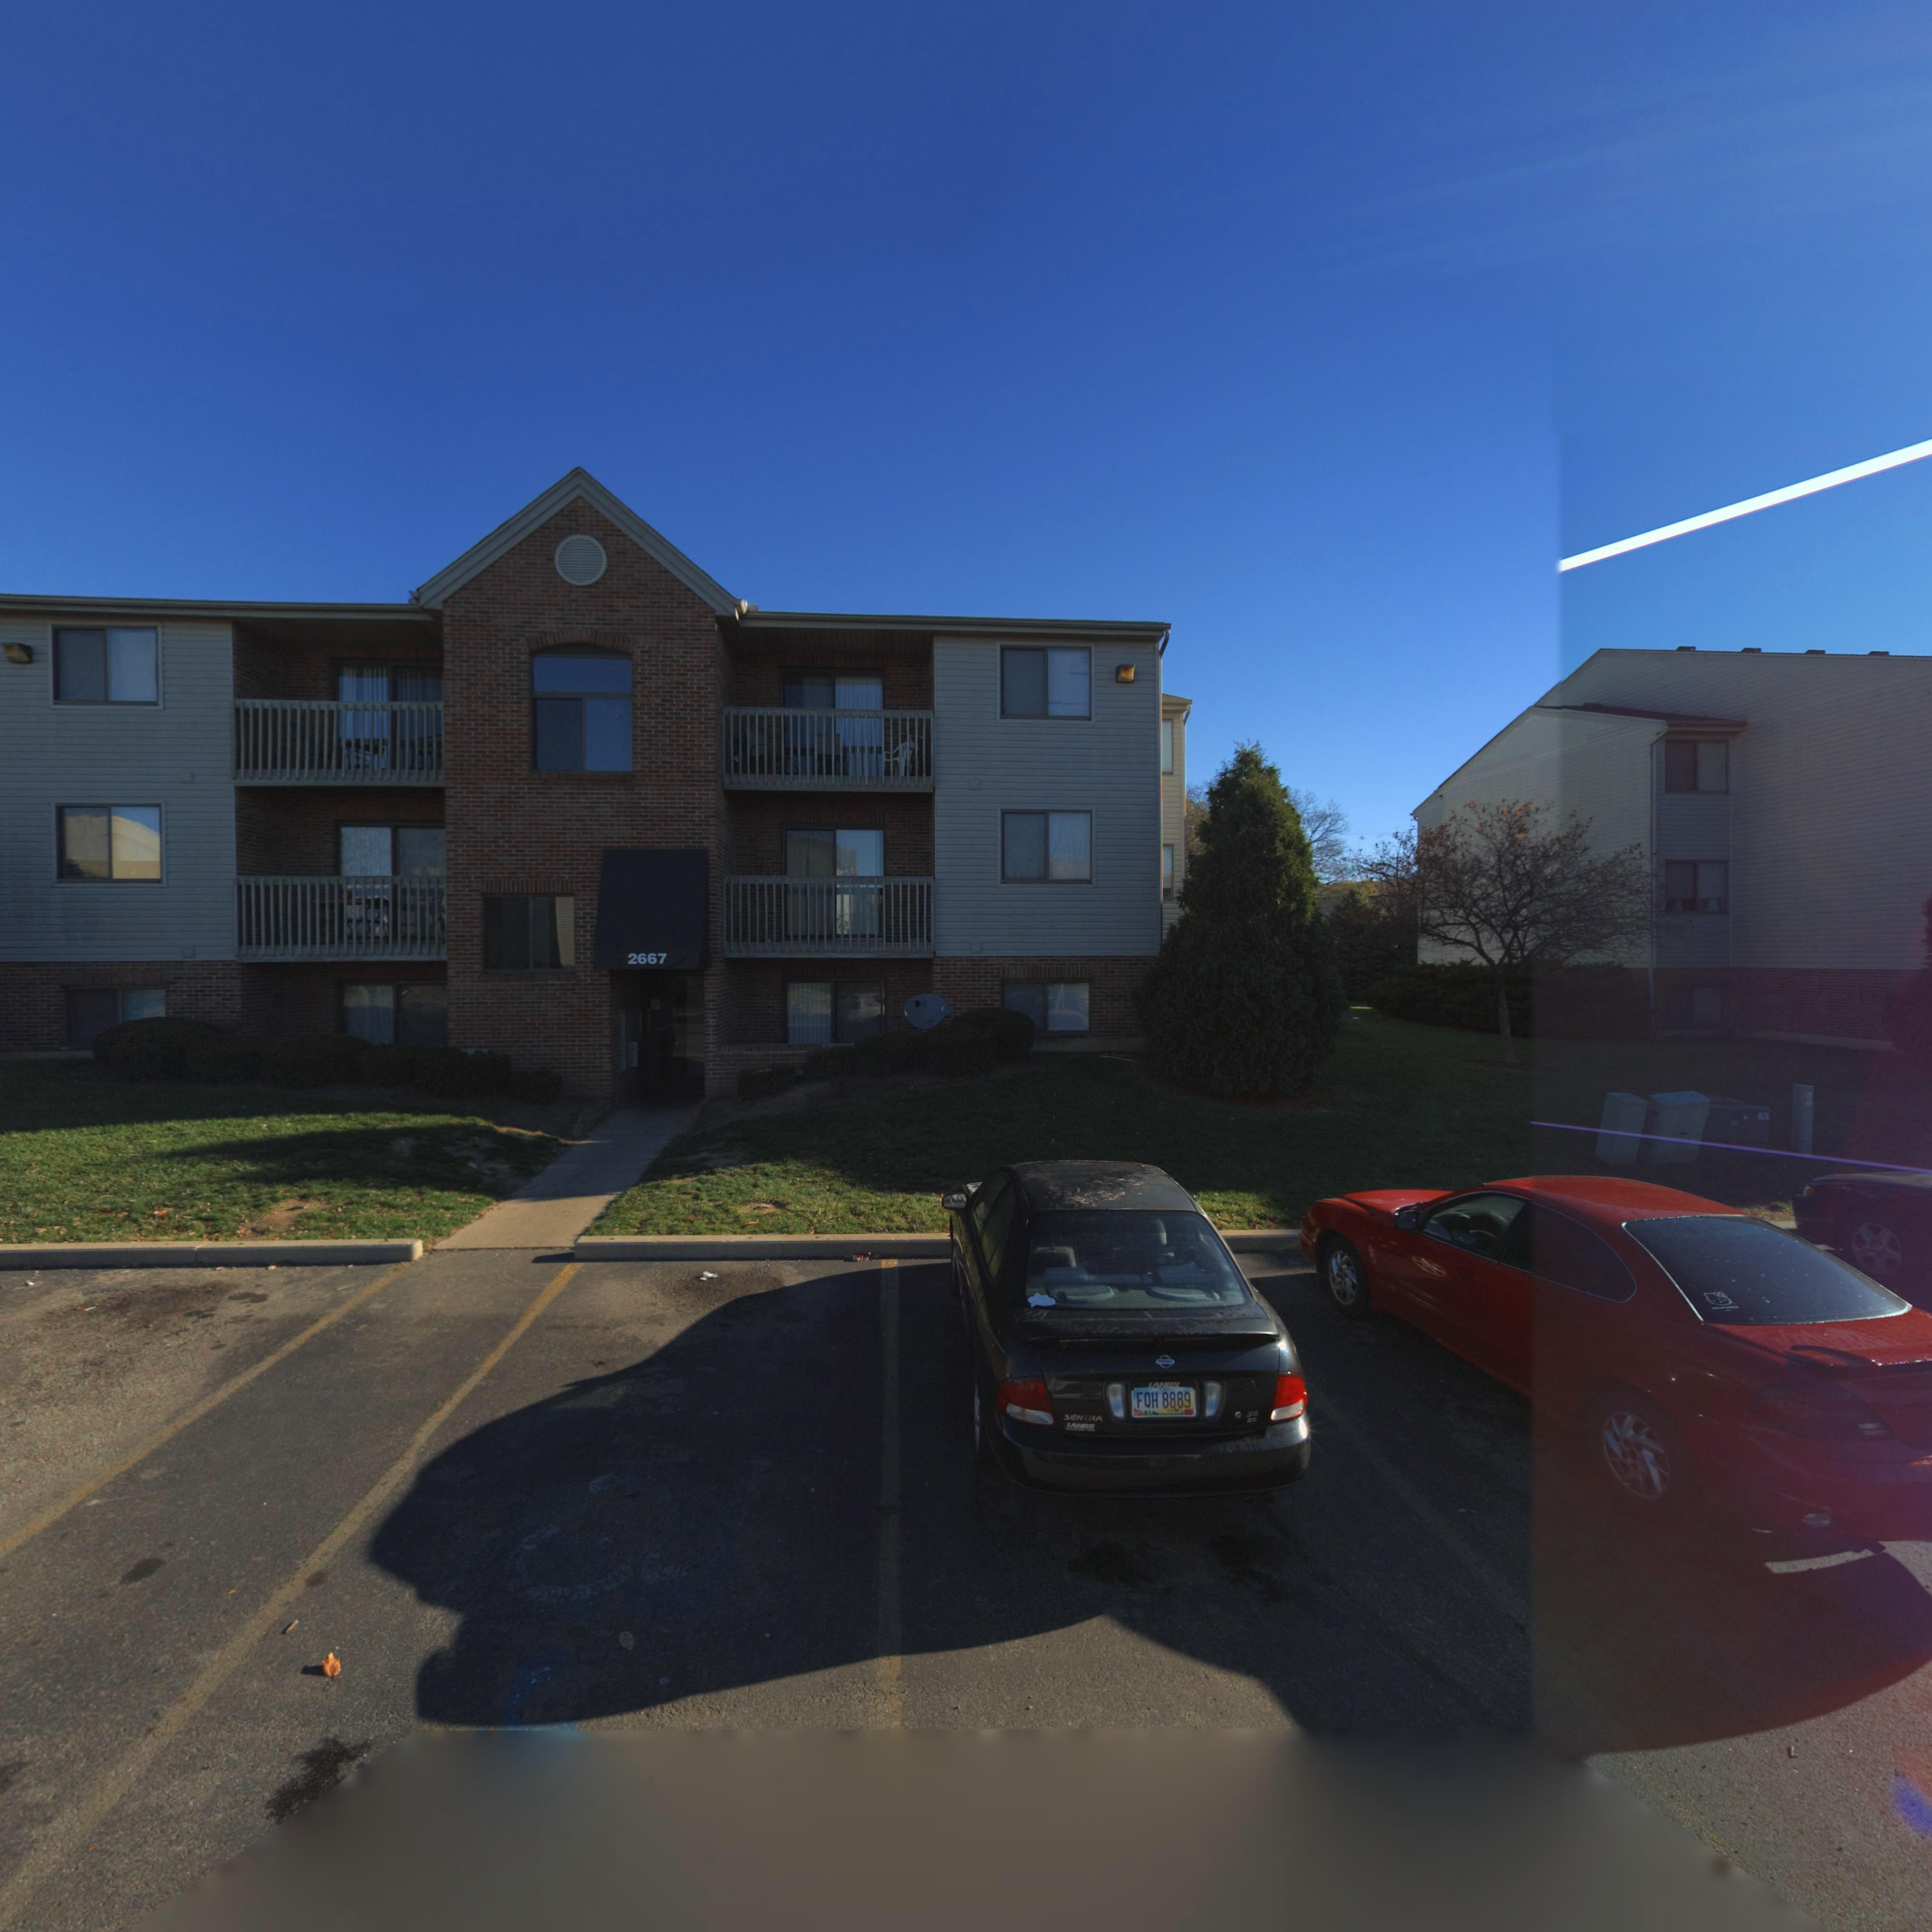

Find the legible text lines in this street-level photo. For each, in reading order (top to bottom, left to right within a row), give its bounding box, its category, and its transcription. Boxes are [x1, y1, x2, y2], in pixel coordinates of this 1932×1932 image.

[627, 953, 667, 965] StreetNumber: 2667